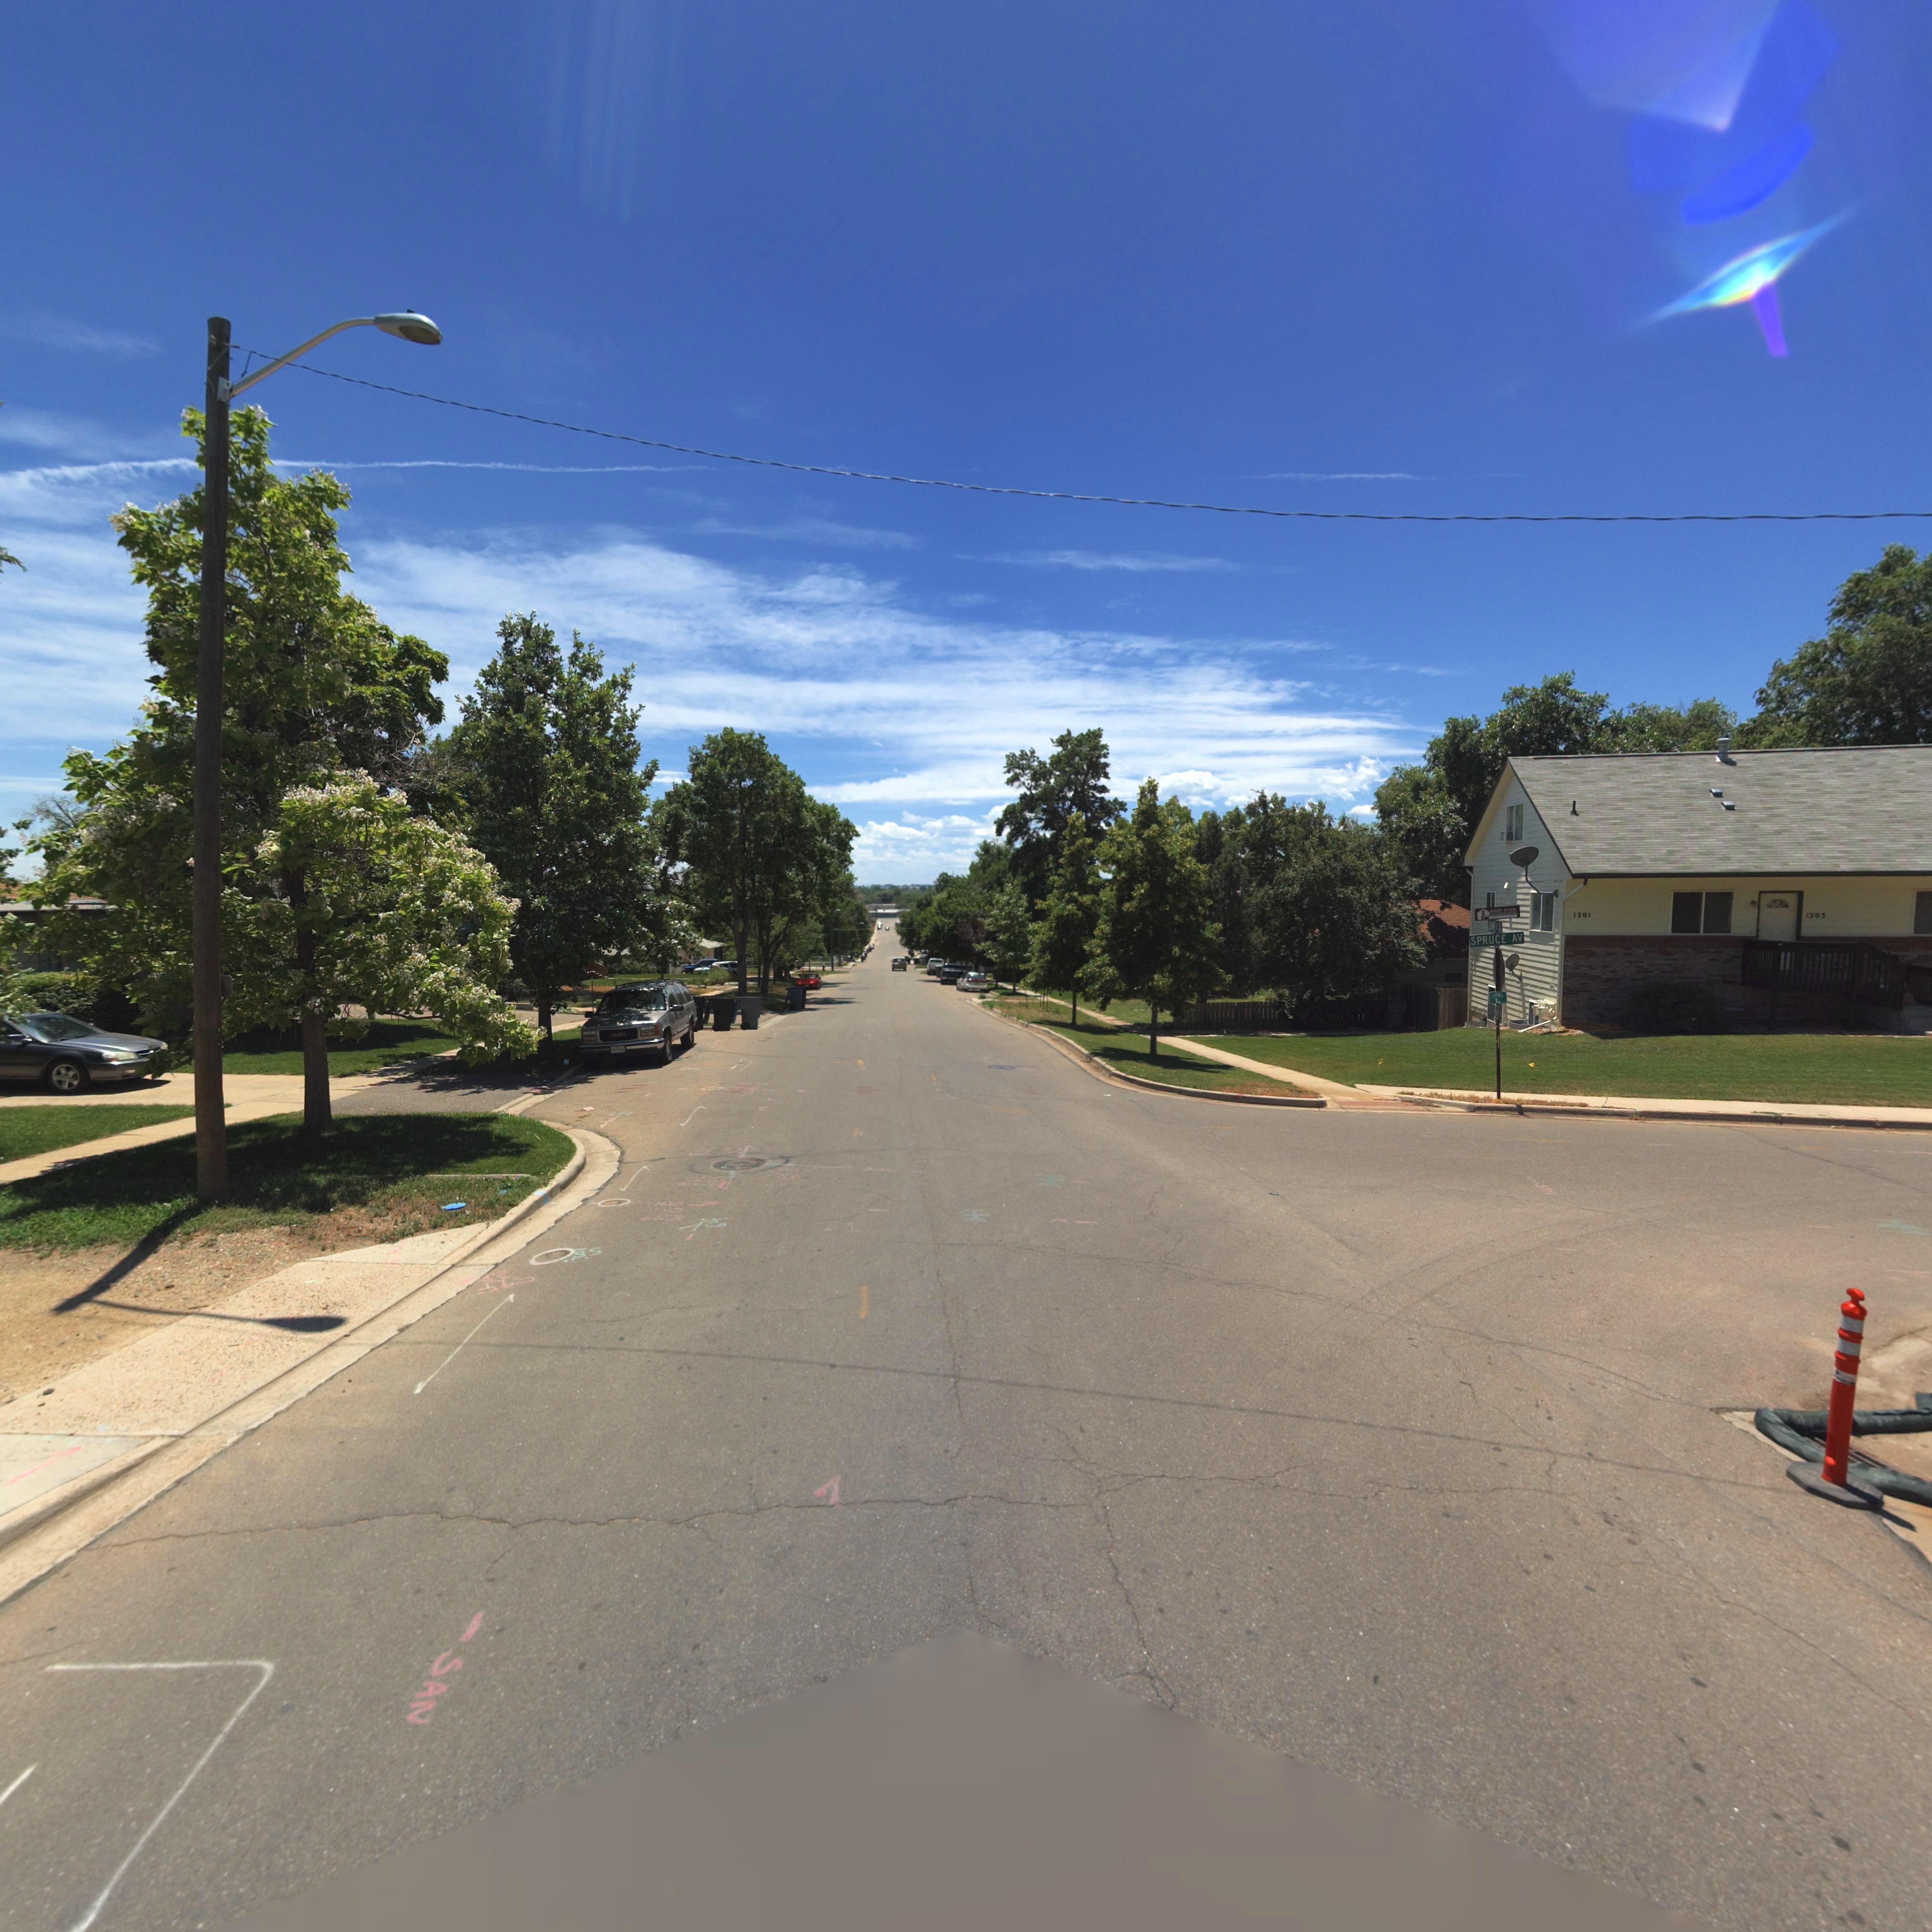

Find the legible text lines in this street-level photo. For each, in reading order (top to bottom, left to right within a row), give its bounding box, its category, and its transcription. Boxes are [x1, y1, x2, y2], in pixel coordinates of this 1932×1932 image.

[1573, 912, 1591, 918] StreetNumber: 1201
[1806, 912, 1826, 918] StreetNumber: 1203
[1488, 920, 1501, 931] StreetName: BOWEN ST
[1470, 932, 1523, 946] StreetName: SPRUCE AV